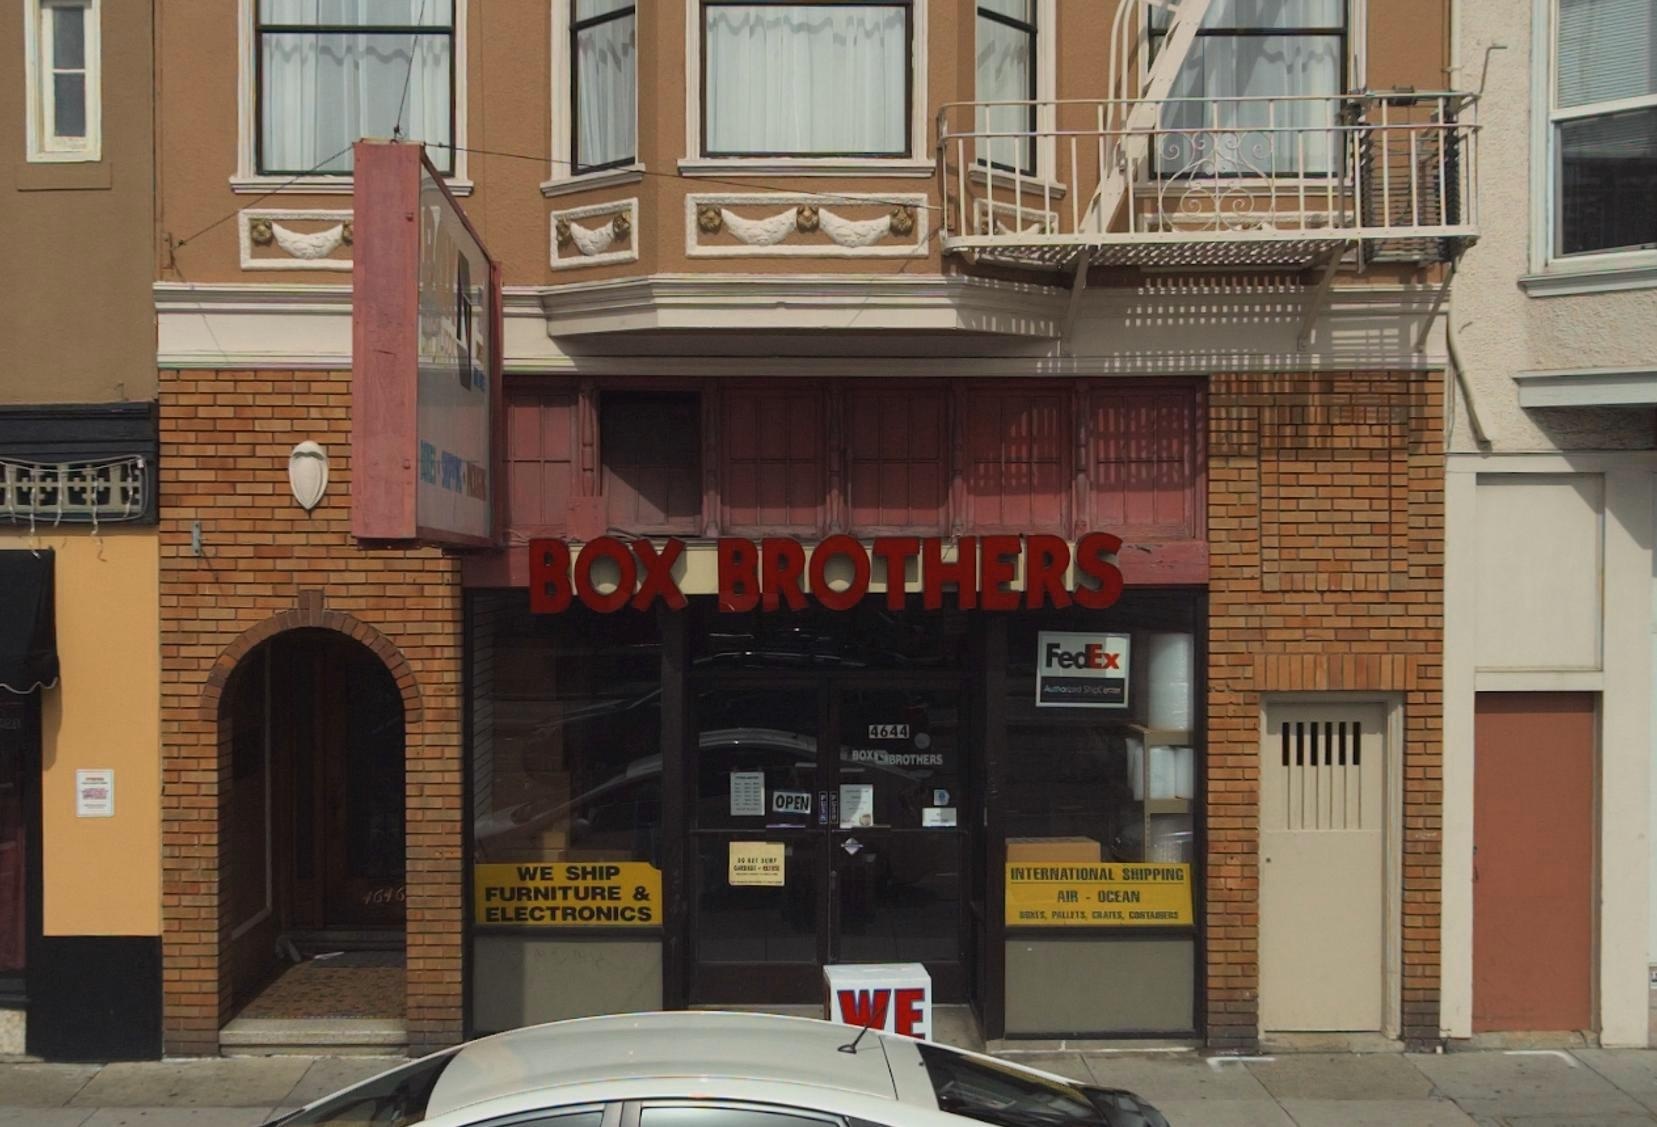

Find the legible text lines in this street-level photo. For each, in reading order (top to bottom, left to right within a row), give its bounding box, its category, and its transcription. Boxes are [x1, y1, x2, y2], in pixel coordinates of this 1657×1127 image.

[526, 529, 1126, 620] BusinessName: BOX BROTHERS
[1043, 640, 1124, 672] None: FedEx
[867, 723, 910, 740] StreetNumber: 4644
[849, 748, 944, 767] BusinessName: BOX*BROTHERS
[773, 792, 811, 813] None: OPEN
[513, 862, 623, 884] None: WE SHIP
[1009, 866, 1186, 883] None: INTERNATIONAL SHIPPING
[356, 882, 409, 909] StreetNumber: 4646
[482, 881, 653, 904] None: FURNITURE &
[1054, 888, 1143, 905] None: AIR - OCEAN
[482, 904, 654, 924] None: ELECTRONICS
[1015, 908, 1180, 920] None: BOXES, PALLETS, CRATES, CONTAINERS